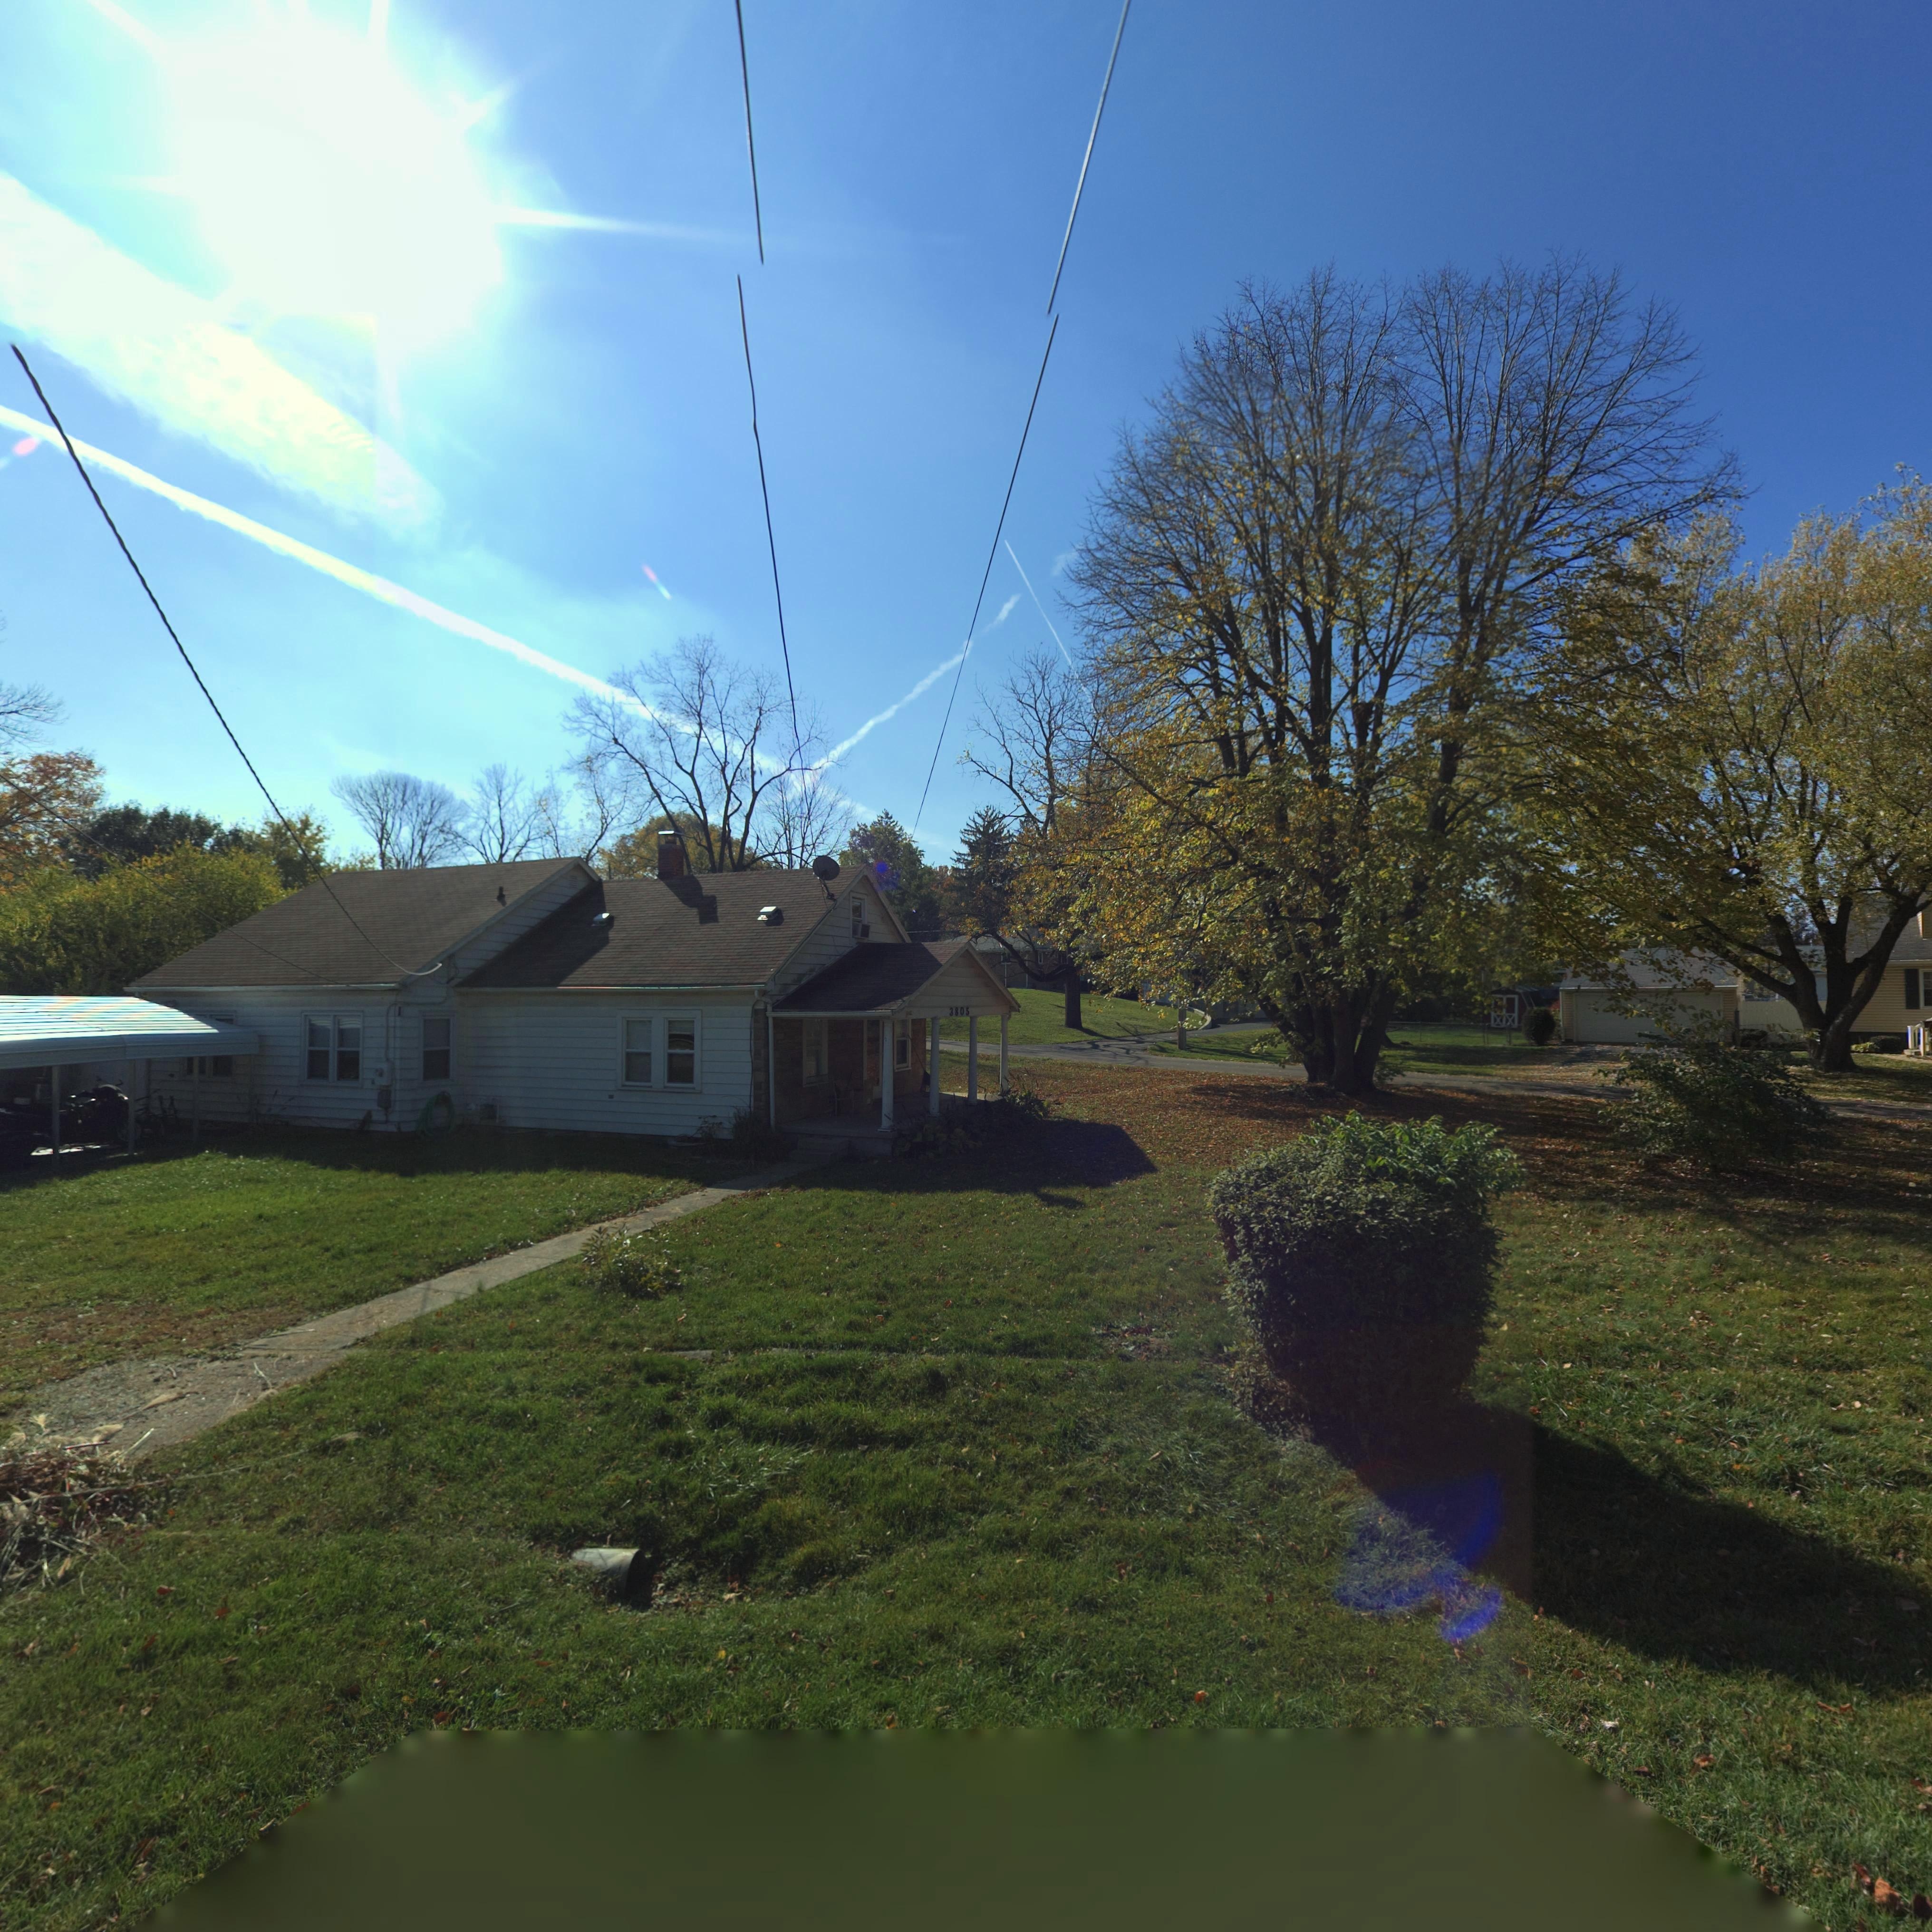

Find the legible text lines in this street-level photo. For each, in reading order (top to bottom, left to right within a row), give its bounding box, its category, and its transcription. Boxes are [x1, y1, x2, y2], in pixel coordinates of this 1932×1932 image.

[948, 1005, 971, 1018] StreetNumber: 3805